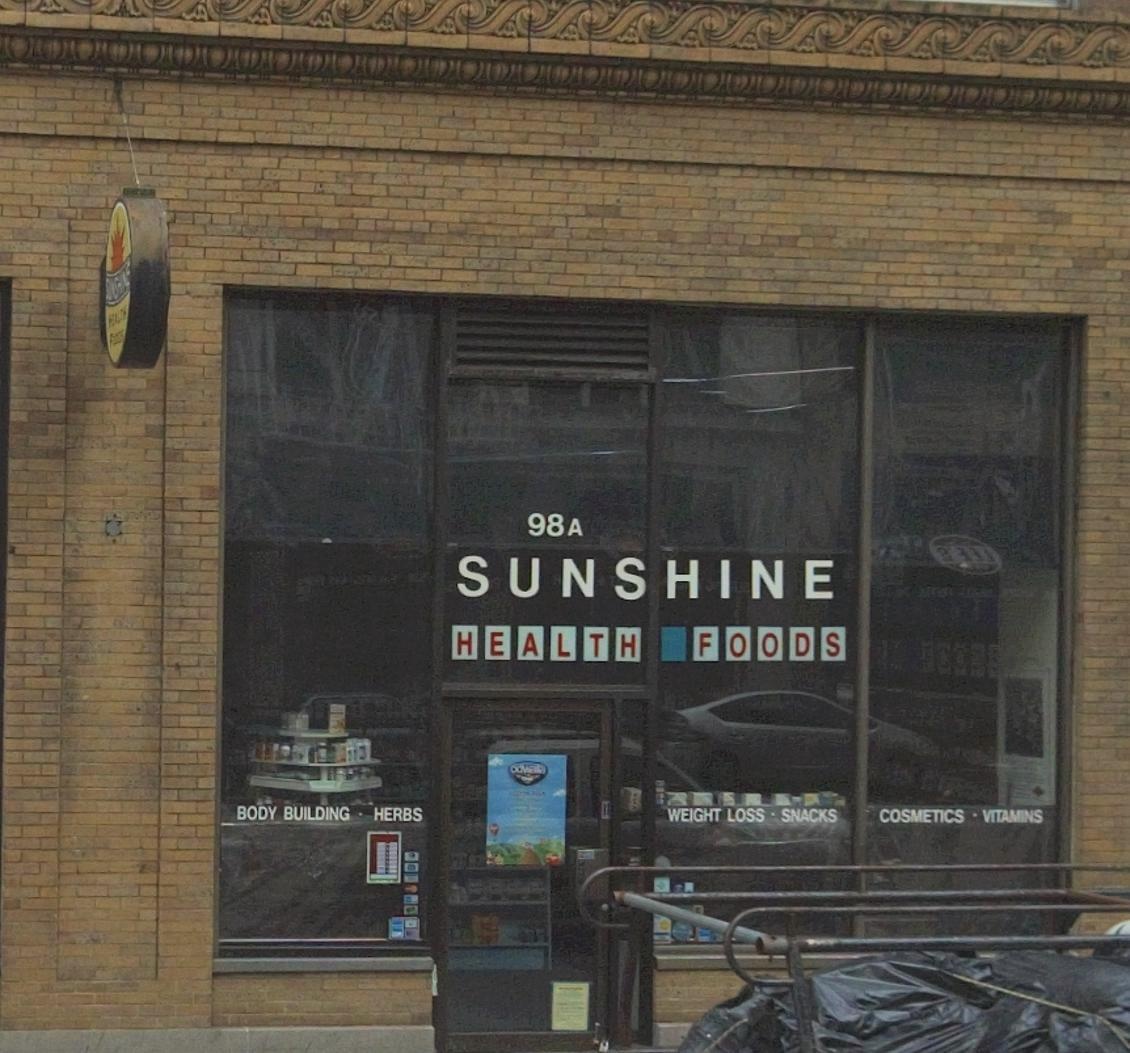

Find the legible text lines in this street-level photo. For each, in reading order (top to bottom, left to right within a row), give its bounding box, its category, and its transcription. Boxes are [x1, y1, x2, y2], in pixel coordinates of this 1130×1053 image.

[526, 511, 584, 538] StreetNumber: 98A
[454, 553, 835, 602] BusinessName: SUNSHINE
[455, 629, 843, 659] BusinessName: HEALTH FOODS
[236, 804, 424, 823] None: BODY BUILDING * HERBS
[665, 806, 839, 823] None: WEIGHT LOSS * SNACKS
[877, 806, 1044, 825] None: COSMETICS * VITAMINS